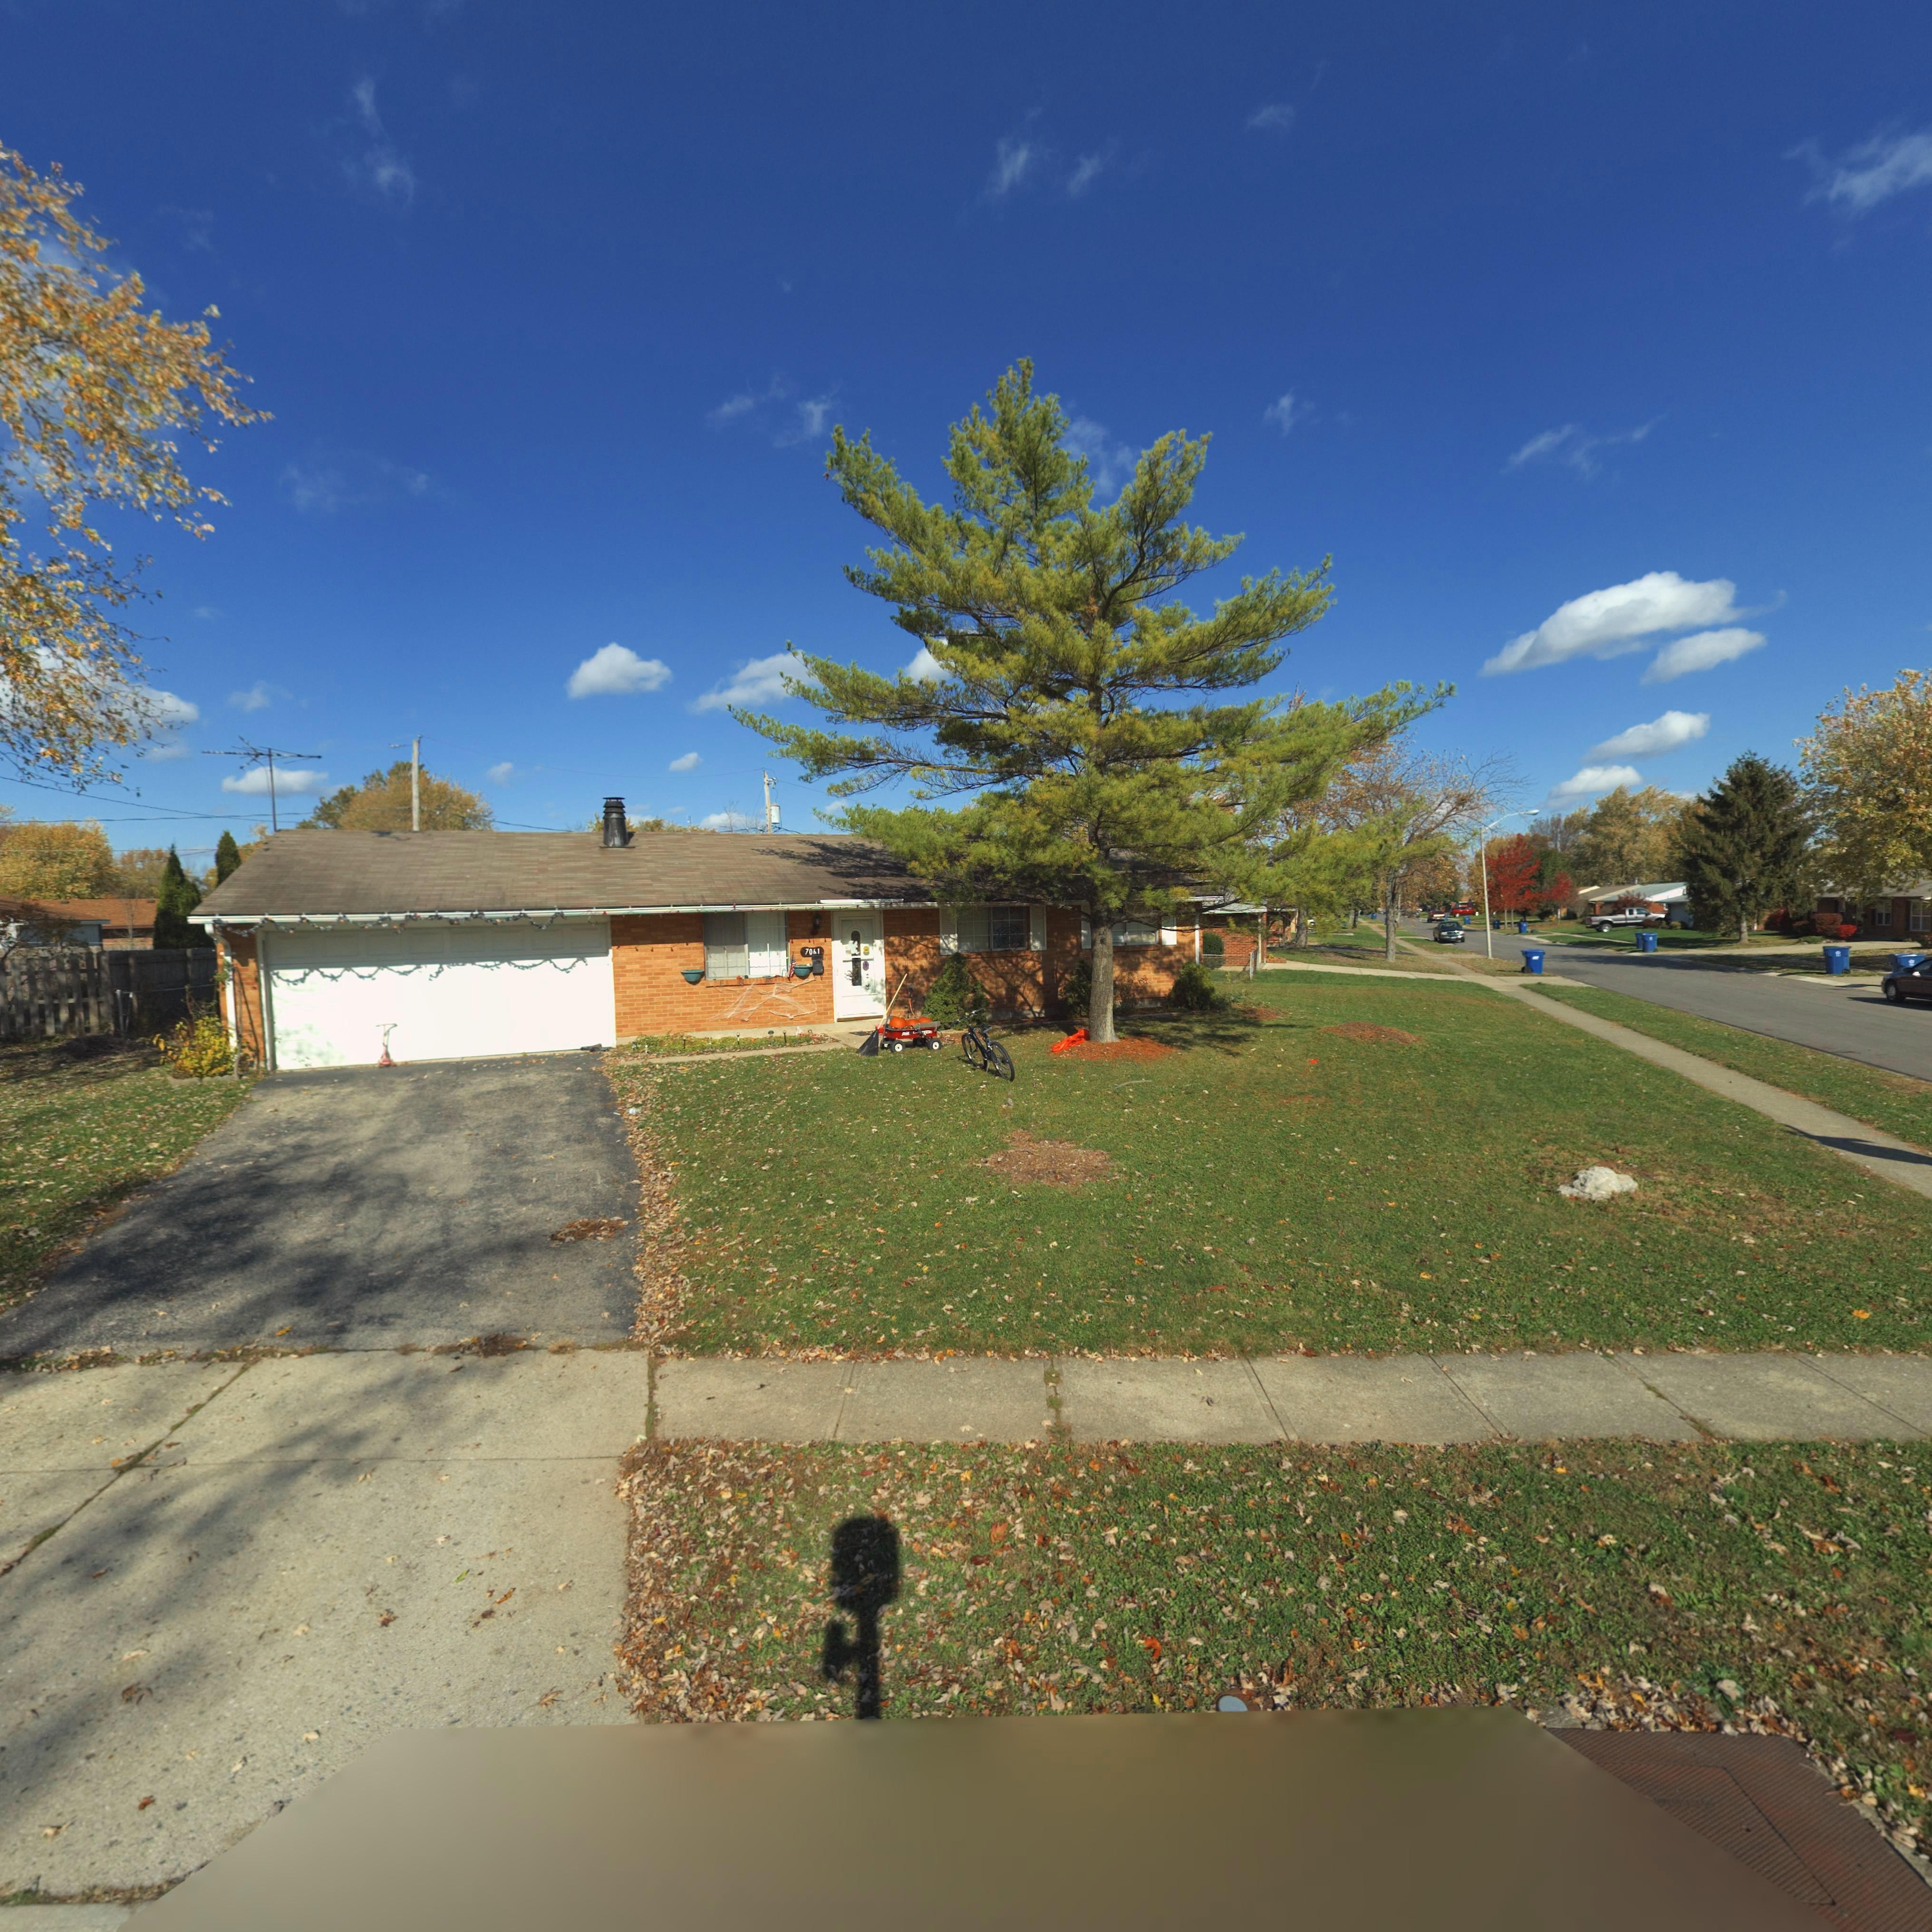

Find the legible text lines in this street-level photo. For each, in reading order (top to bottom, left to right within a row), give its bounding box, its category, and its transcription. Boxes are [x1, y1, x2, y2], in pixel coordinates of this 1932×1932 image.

[804, 947, 821, 956] StreetNumber: 70**